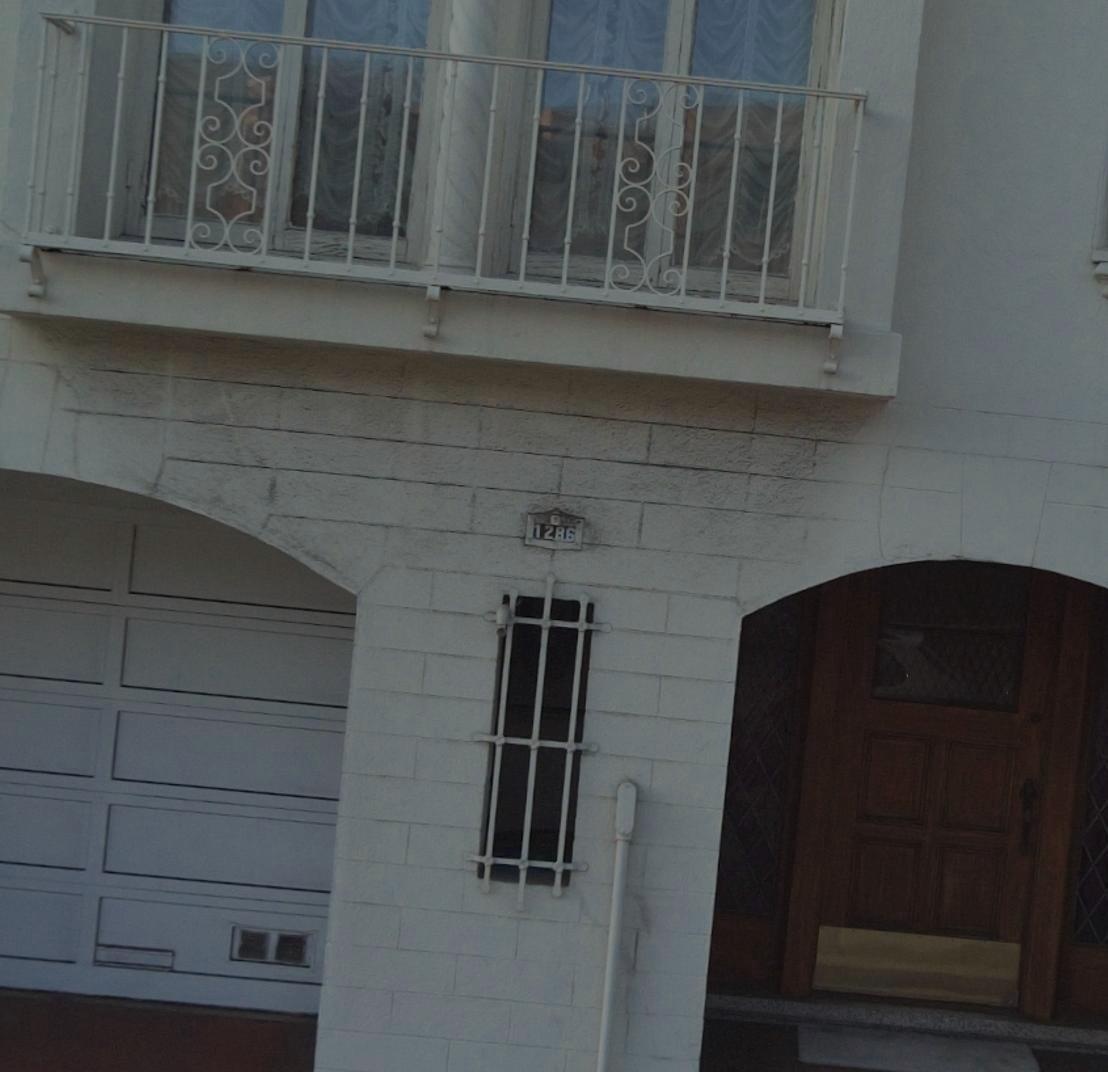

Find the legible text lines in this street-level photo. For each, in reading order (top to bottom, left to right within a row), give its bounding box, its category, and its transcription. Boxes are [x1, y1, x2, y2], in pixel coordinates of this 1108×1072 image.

[531, 521, 577, 545] StreetNumber: 1286